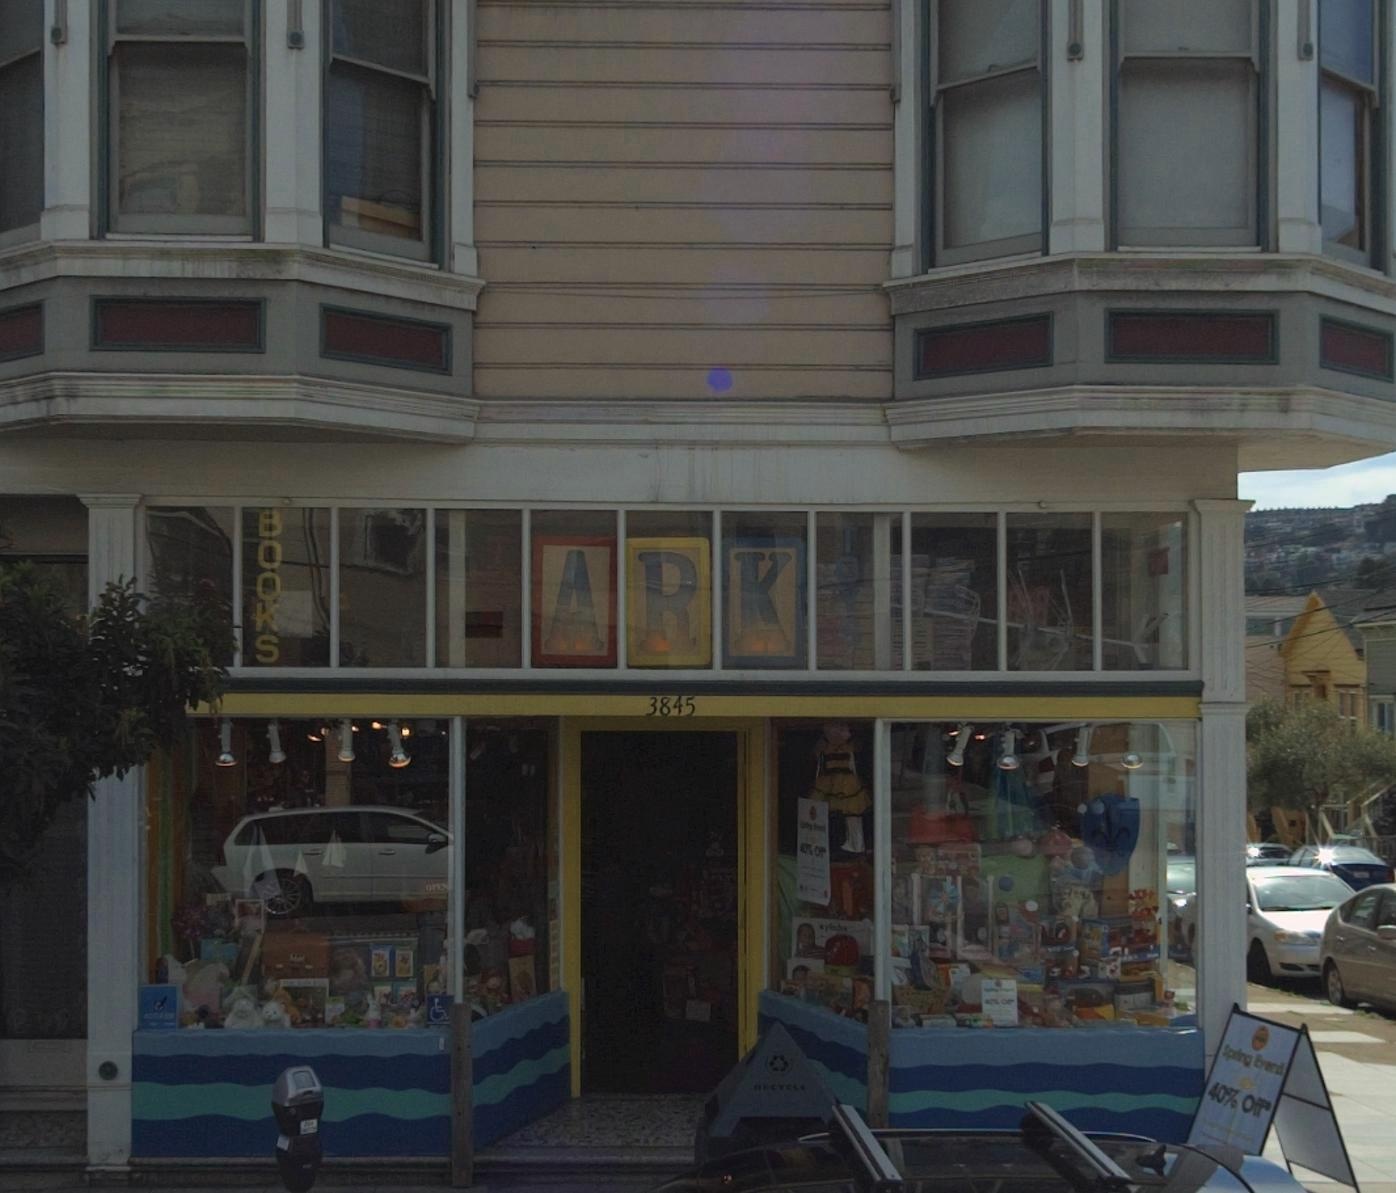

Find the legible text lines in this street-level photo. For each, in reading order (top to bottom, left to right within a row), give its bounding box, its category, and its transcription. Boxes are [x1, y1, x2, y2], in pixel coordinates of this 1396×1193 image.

[254, 508, 283, 664] None: BOOKS
[538, 548, 793, 655] BusinessName: A R K
[646, 696, 695, 717] StreetNumber: 3845
[799, 841, 827, 859] None: 40% Off
[1219, 1043, 1264, 1071] None: Spring B
[753, 1083, 808, 1092] None: RECYCLE
[1205, 1078, 1270, 1120] None: 40% Off